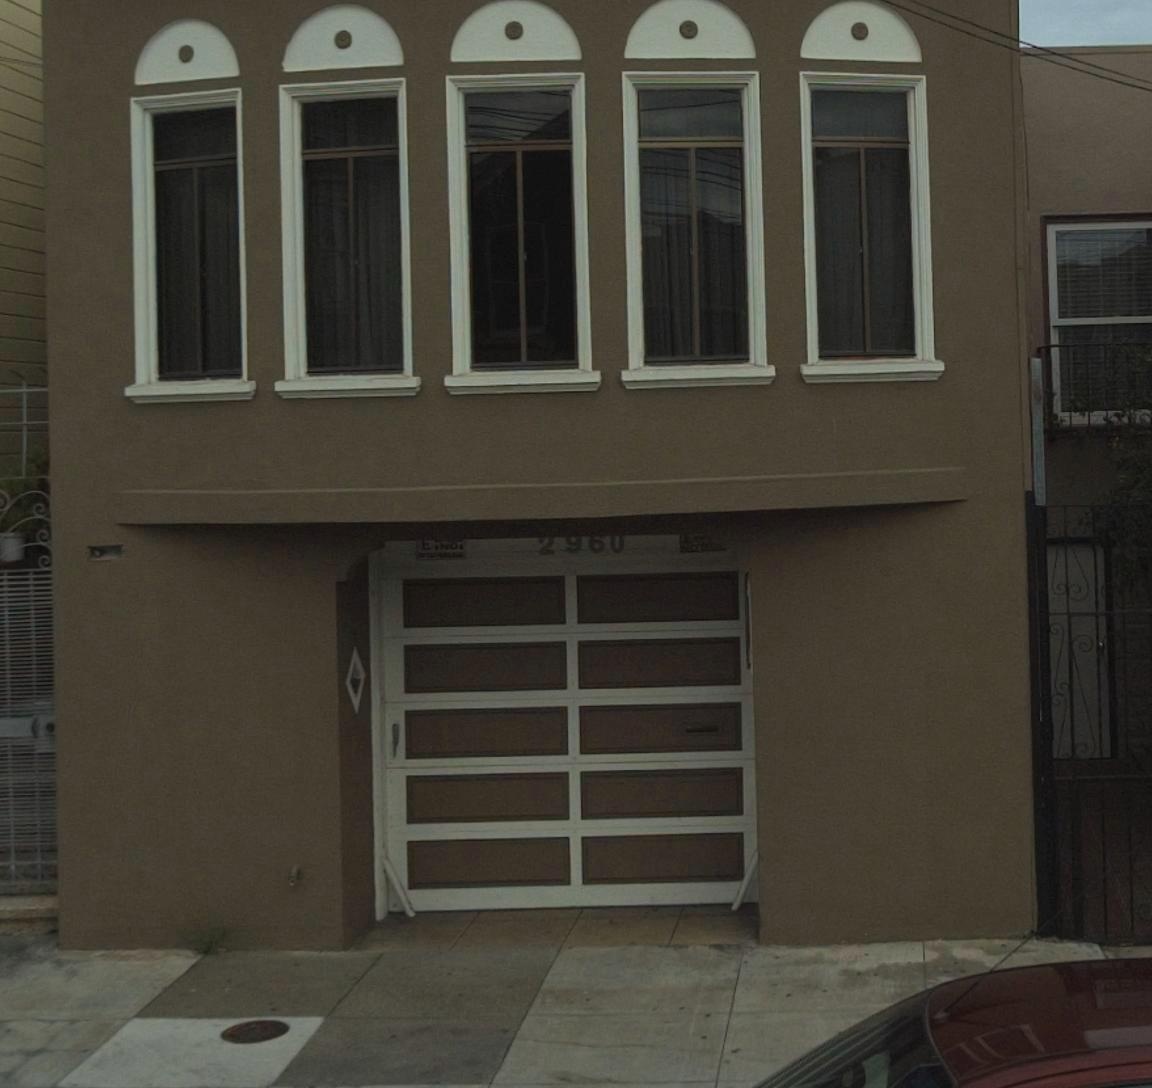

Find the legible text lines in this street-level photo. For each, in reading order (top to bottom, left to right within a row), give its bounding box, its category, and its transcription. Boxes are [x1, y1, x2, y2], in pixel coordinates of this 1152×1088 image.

[537, 531, 626, 555] StreetNumber: 2960